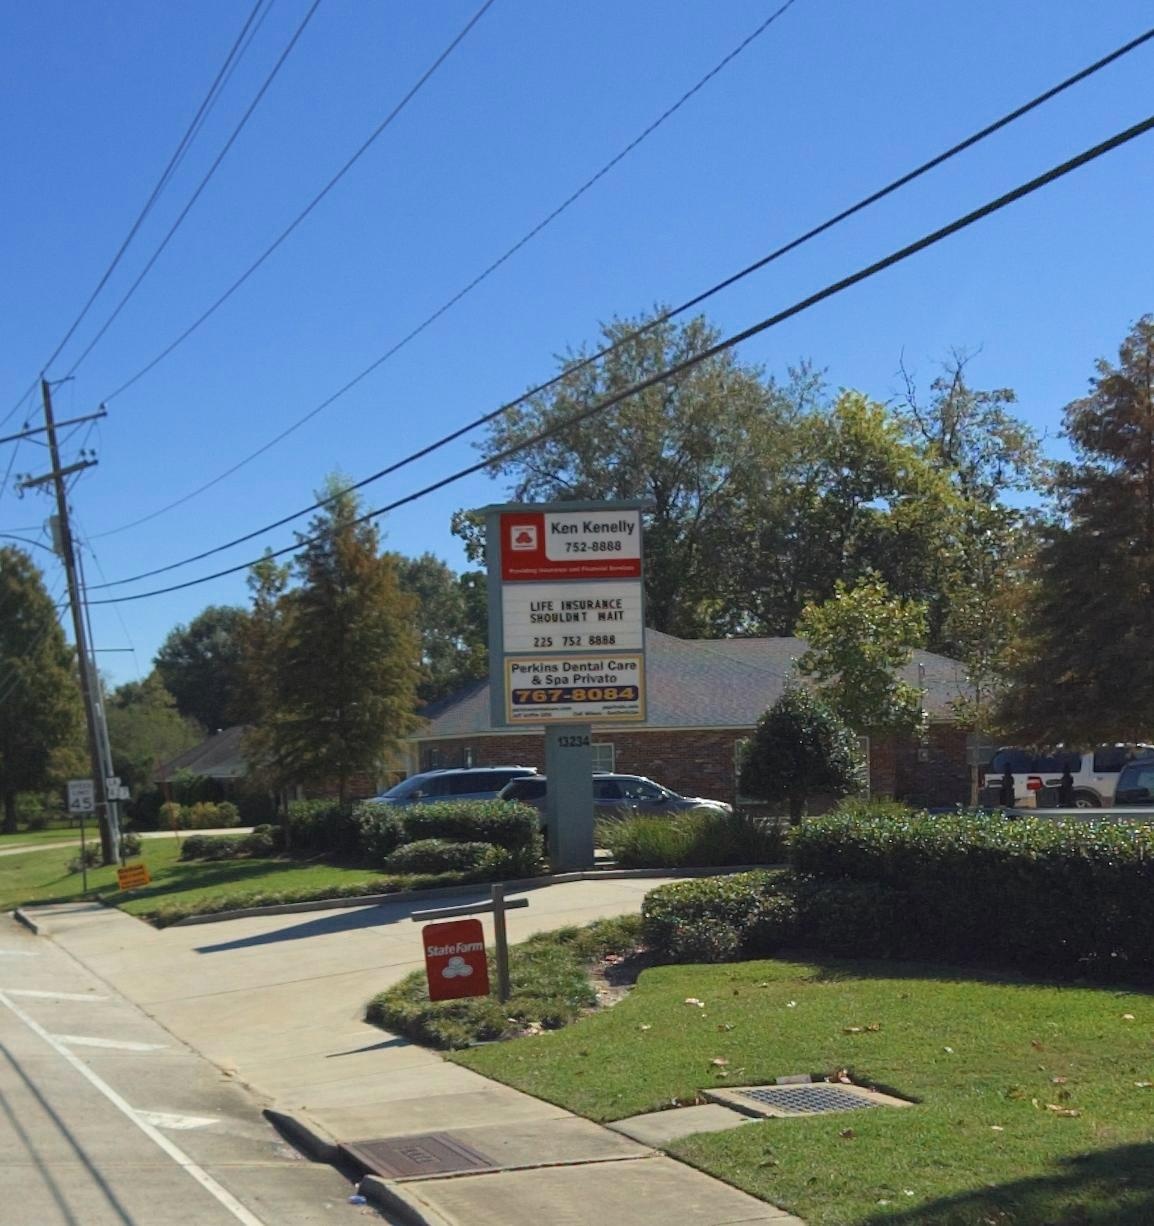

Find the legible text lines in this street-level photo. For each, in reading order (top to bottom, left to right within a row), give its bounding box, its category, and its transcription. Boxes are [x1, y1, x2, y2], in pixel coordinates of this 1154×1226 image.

[551, 518, 636, 537] None: Ken Kenelly
[564, 541, 622, 554] None: 752-8888
[529, 597, 623, 612] None: LIFE INSURANCE
[529, 610, 625, 625] None: SHOULDNT WAIT\
[533, 634, 616, 648] None: 225 752 8888
[511, 659, 638, 675] BusinessName: Perkins Dental Care
[530, 672, 618, 686] BusinessName: & Spa Privato
[515, 687, 636, 704] None: 767-8084
[556, 734, 591, 749] StreetNumber: 13234
[107, 778, 119, 787] None: LA
[108, 787, 116, 797] None: 4
[69, 796, 93, 811] None: 45
[426, 940, 484, 958] BusinessName: State Farm